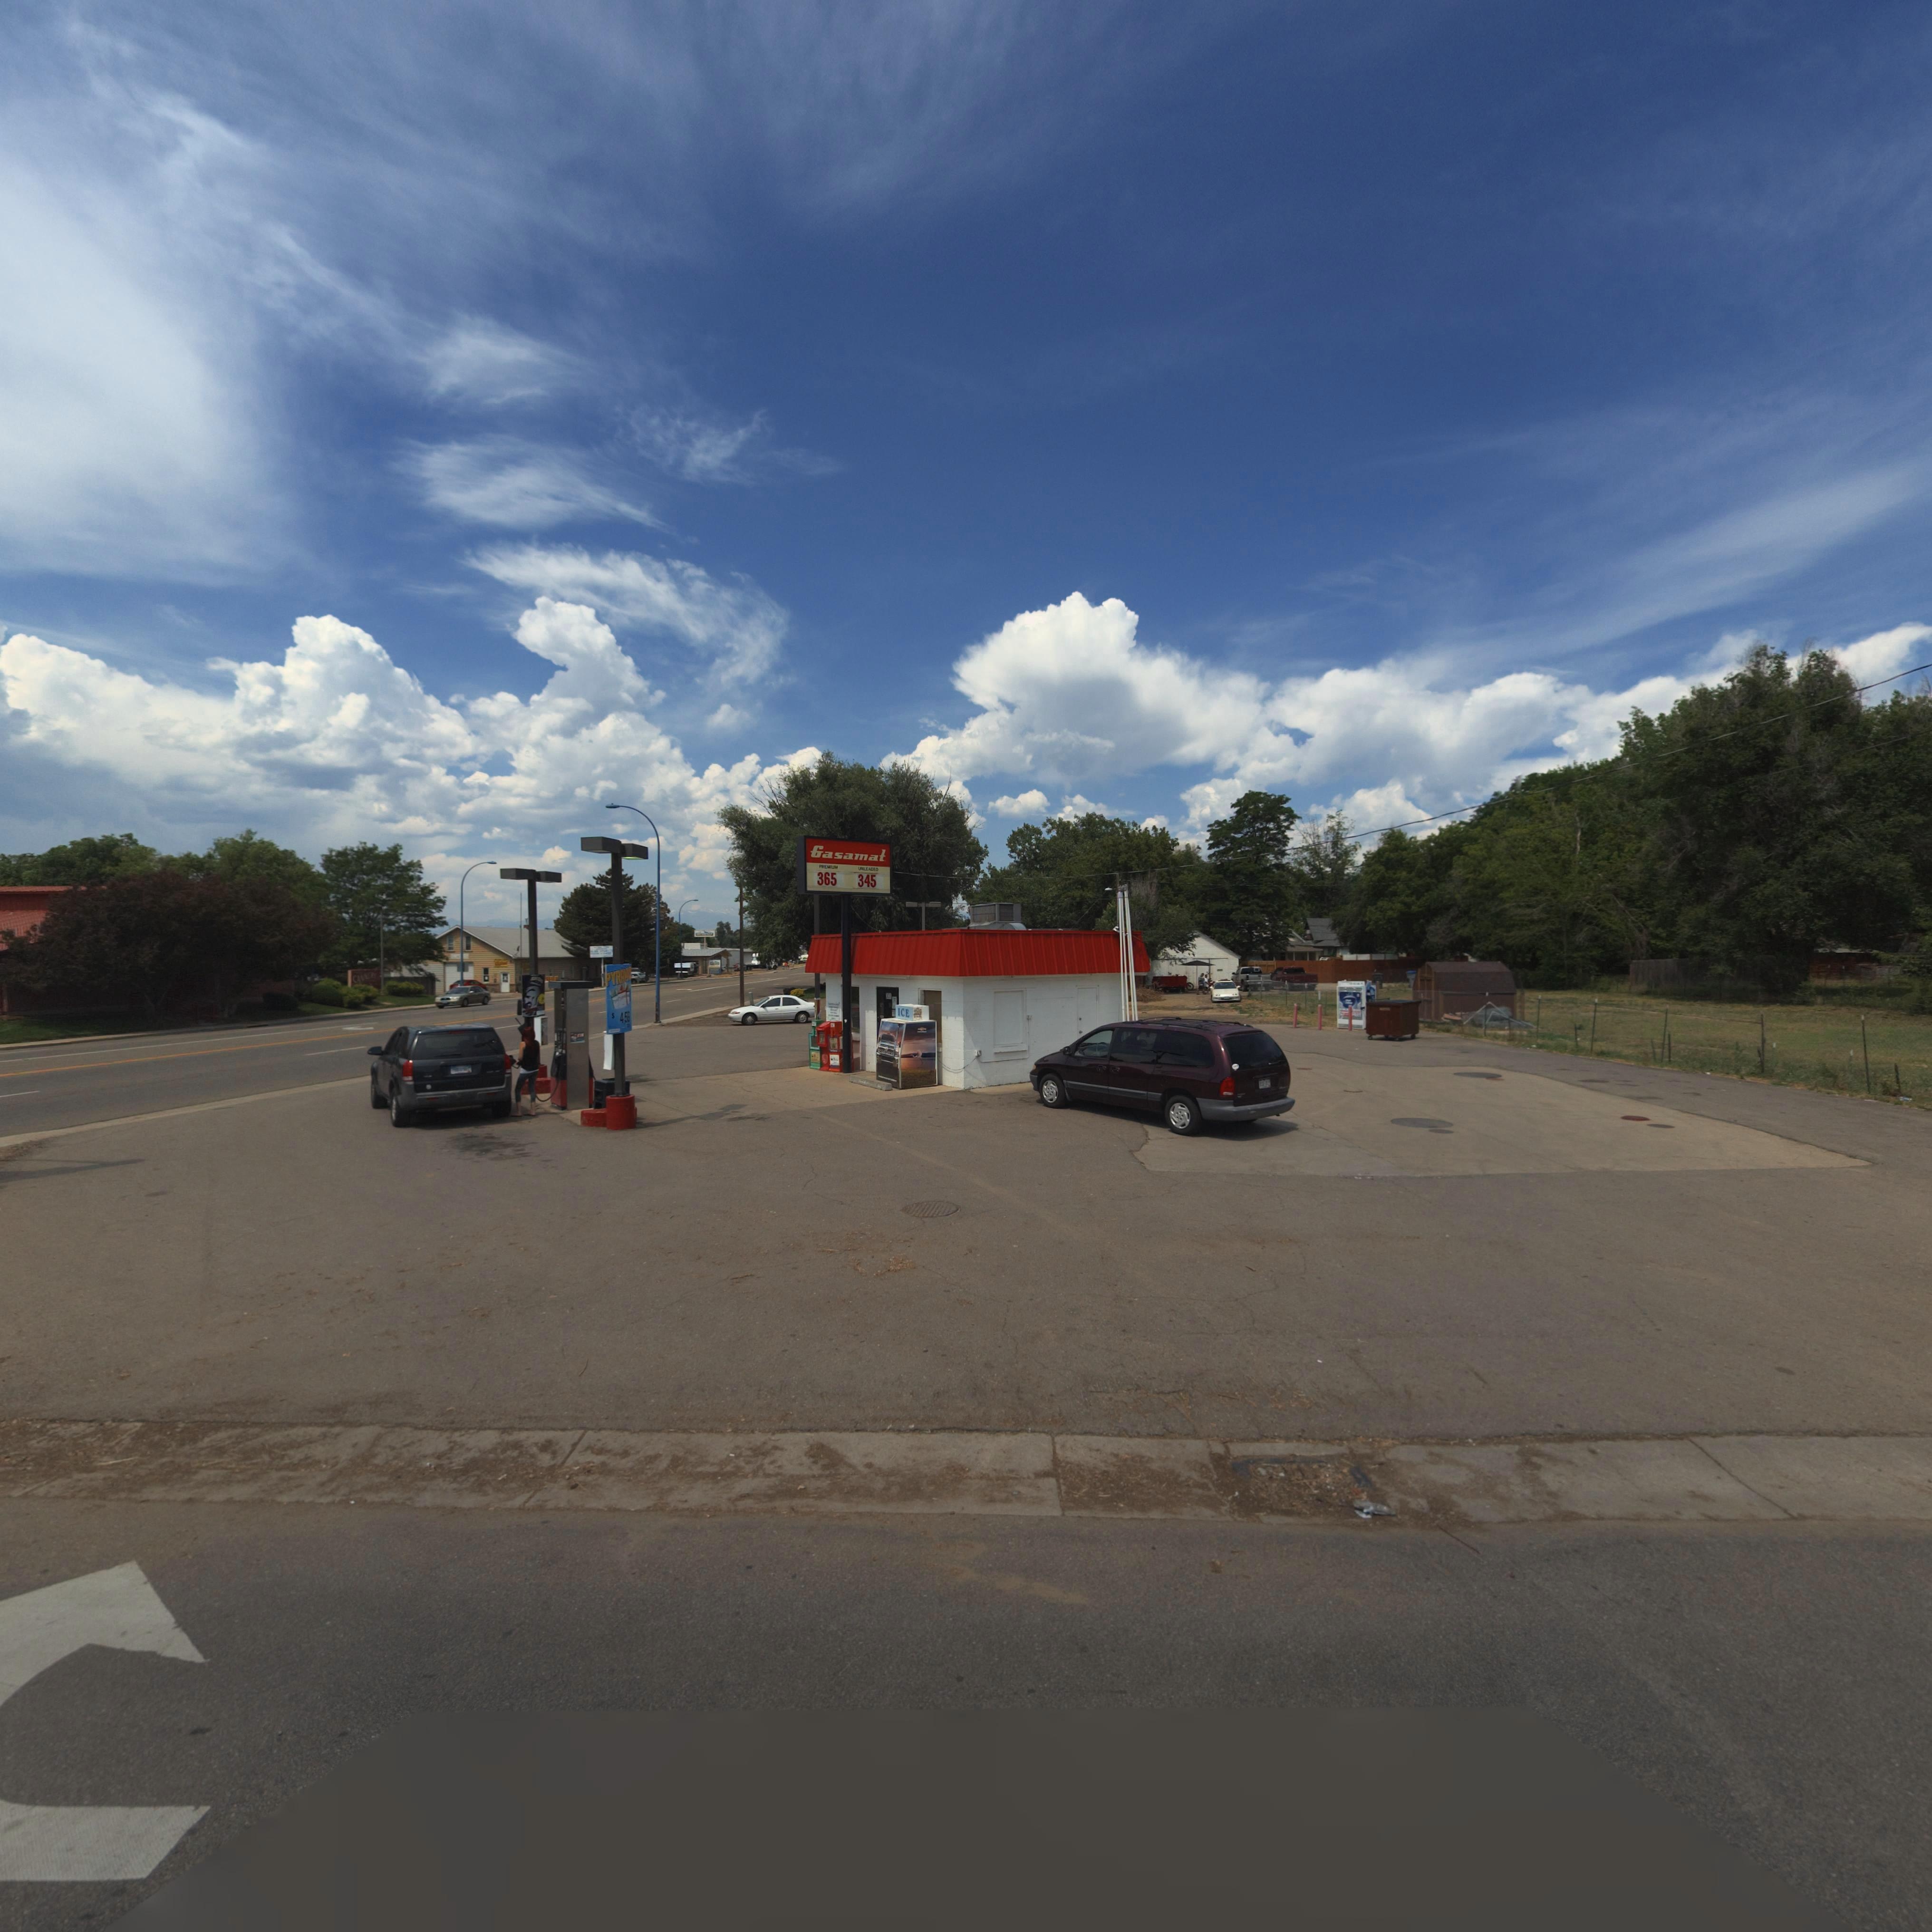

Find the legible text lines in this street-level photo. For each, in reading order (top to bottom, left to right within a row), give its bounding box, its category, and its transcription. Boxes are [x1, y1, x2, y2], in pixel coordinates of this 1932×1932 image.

[807, 843, 889, 863] BusinessName: Gasamat